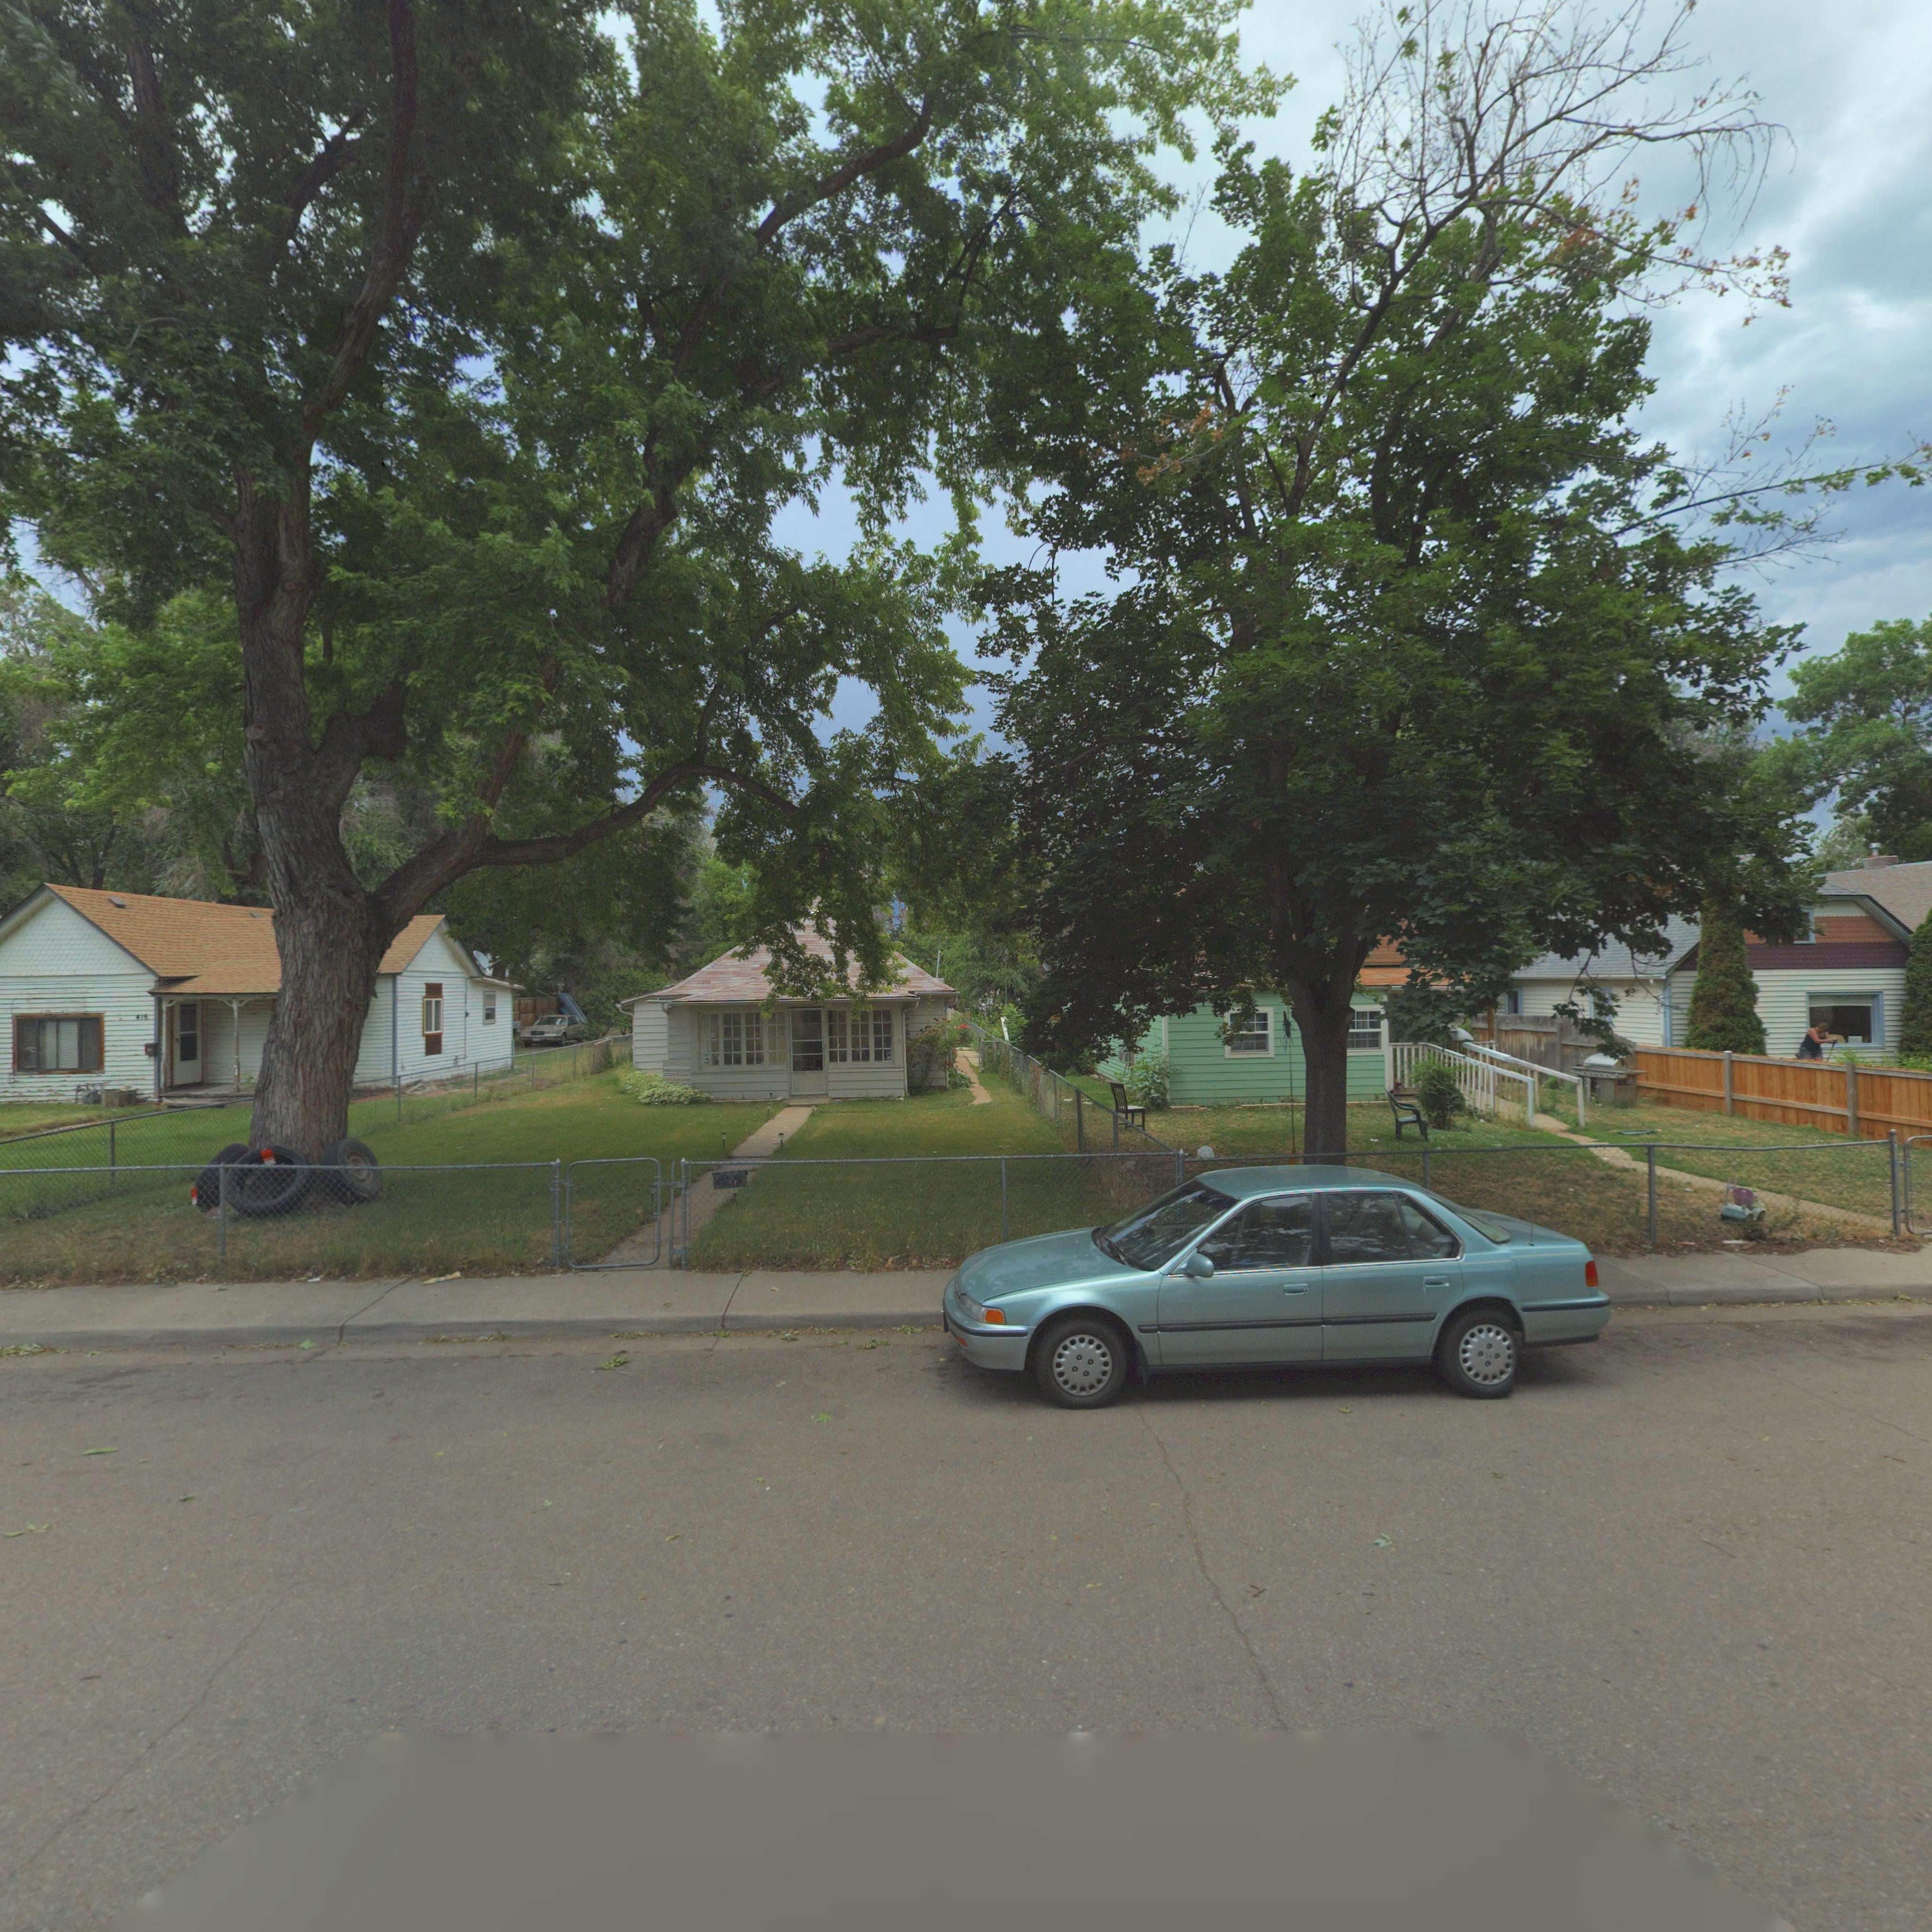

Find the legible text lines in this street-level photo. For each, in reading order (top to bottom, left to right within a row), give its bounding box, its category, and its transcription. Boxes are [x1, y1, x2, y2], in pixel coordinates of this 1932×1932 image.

[135, 1013, 148, 1020] StreetNumber: 416